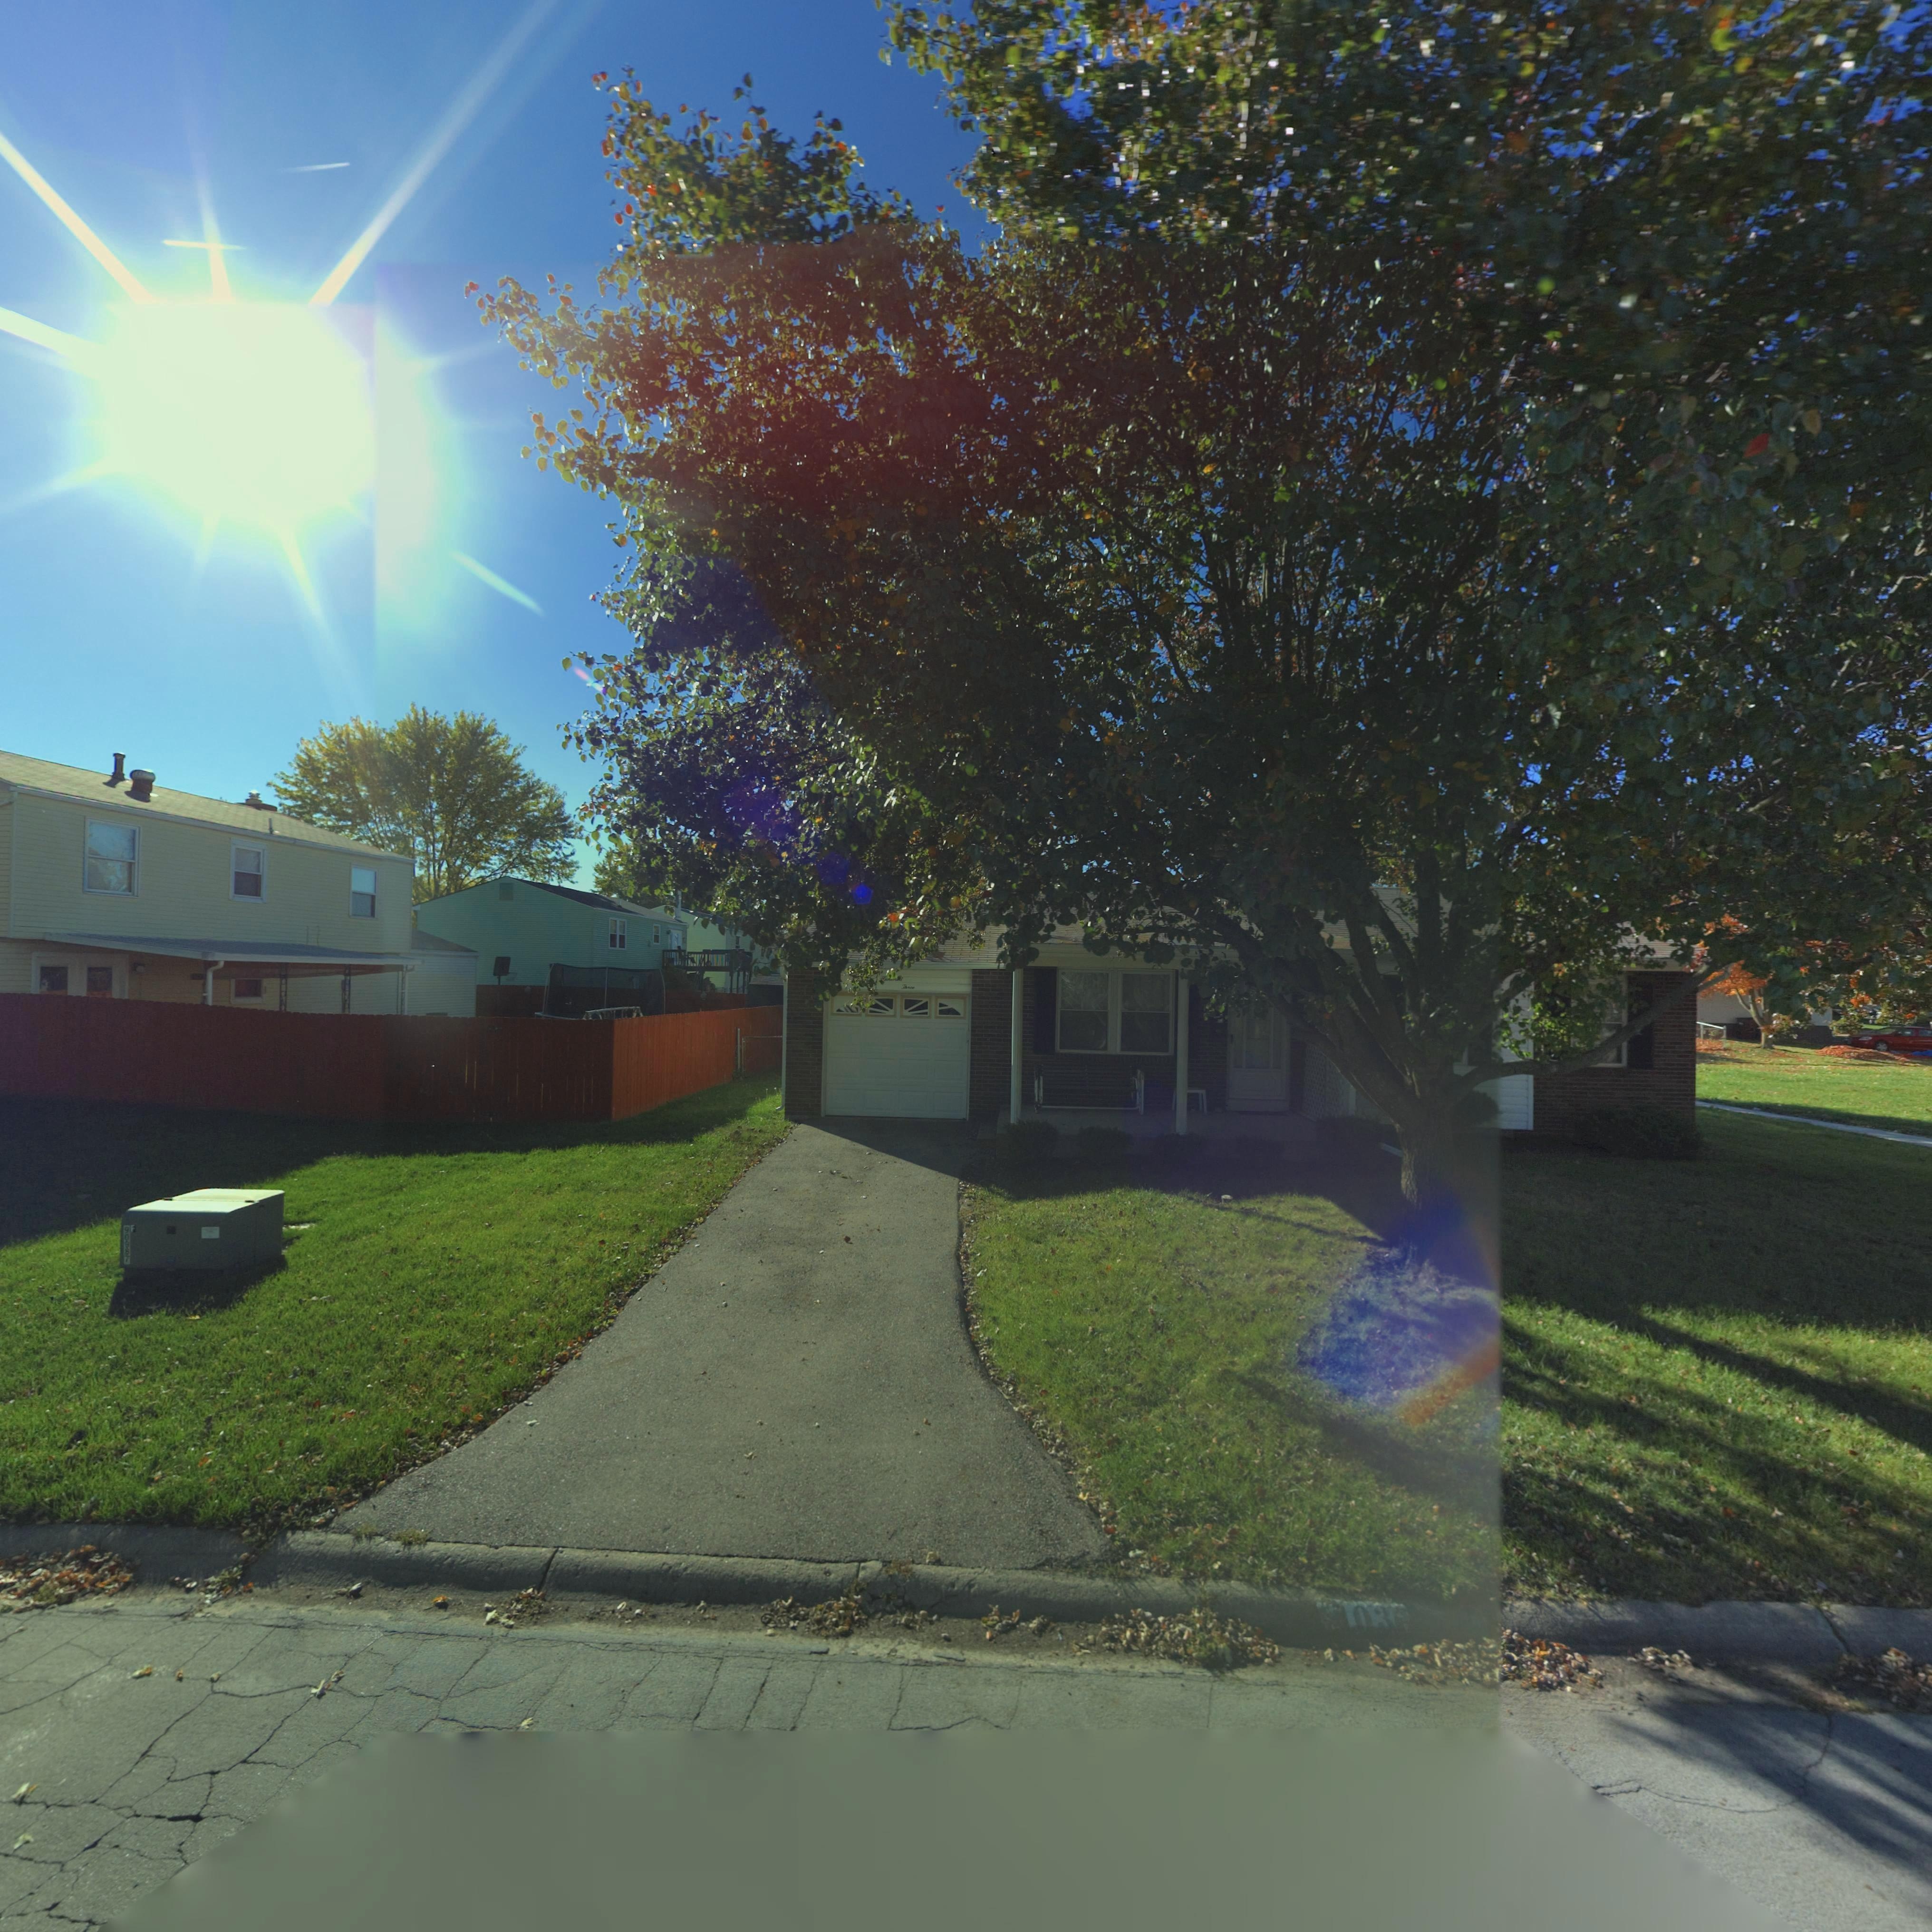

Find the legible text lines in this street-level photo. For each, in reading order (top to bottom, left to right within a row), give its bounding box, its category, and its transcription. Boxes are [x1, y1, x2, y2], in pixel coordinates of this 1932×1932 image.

[900, 984, 916, 990] StreetNumber: Three
[1352, 1604, 1399, 1632] StreetNumber: 03